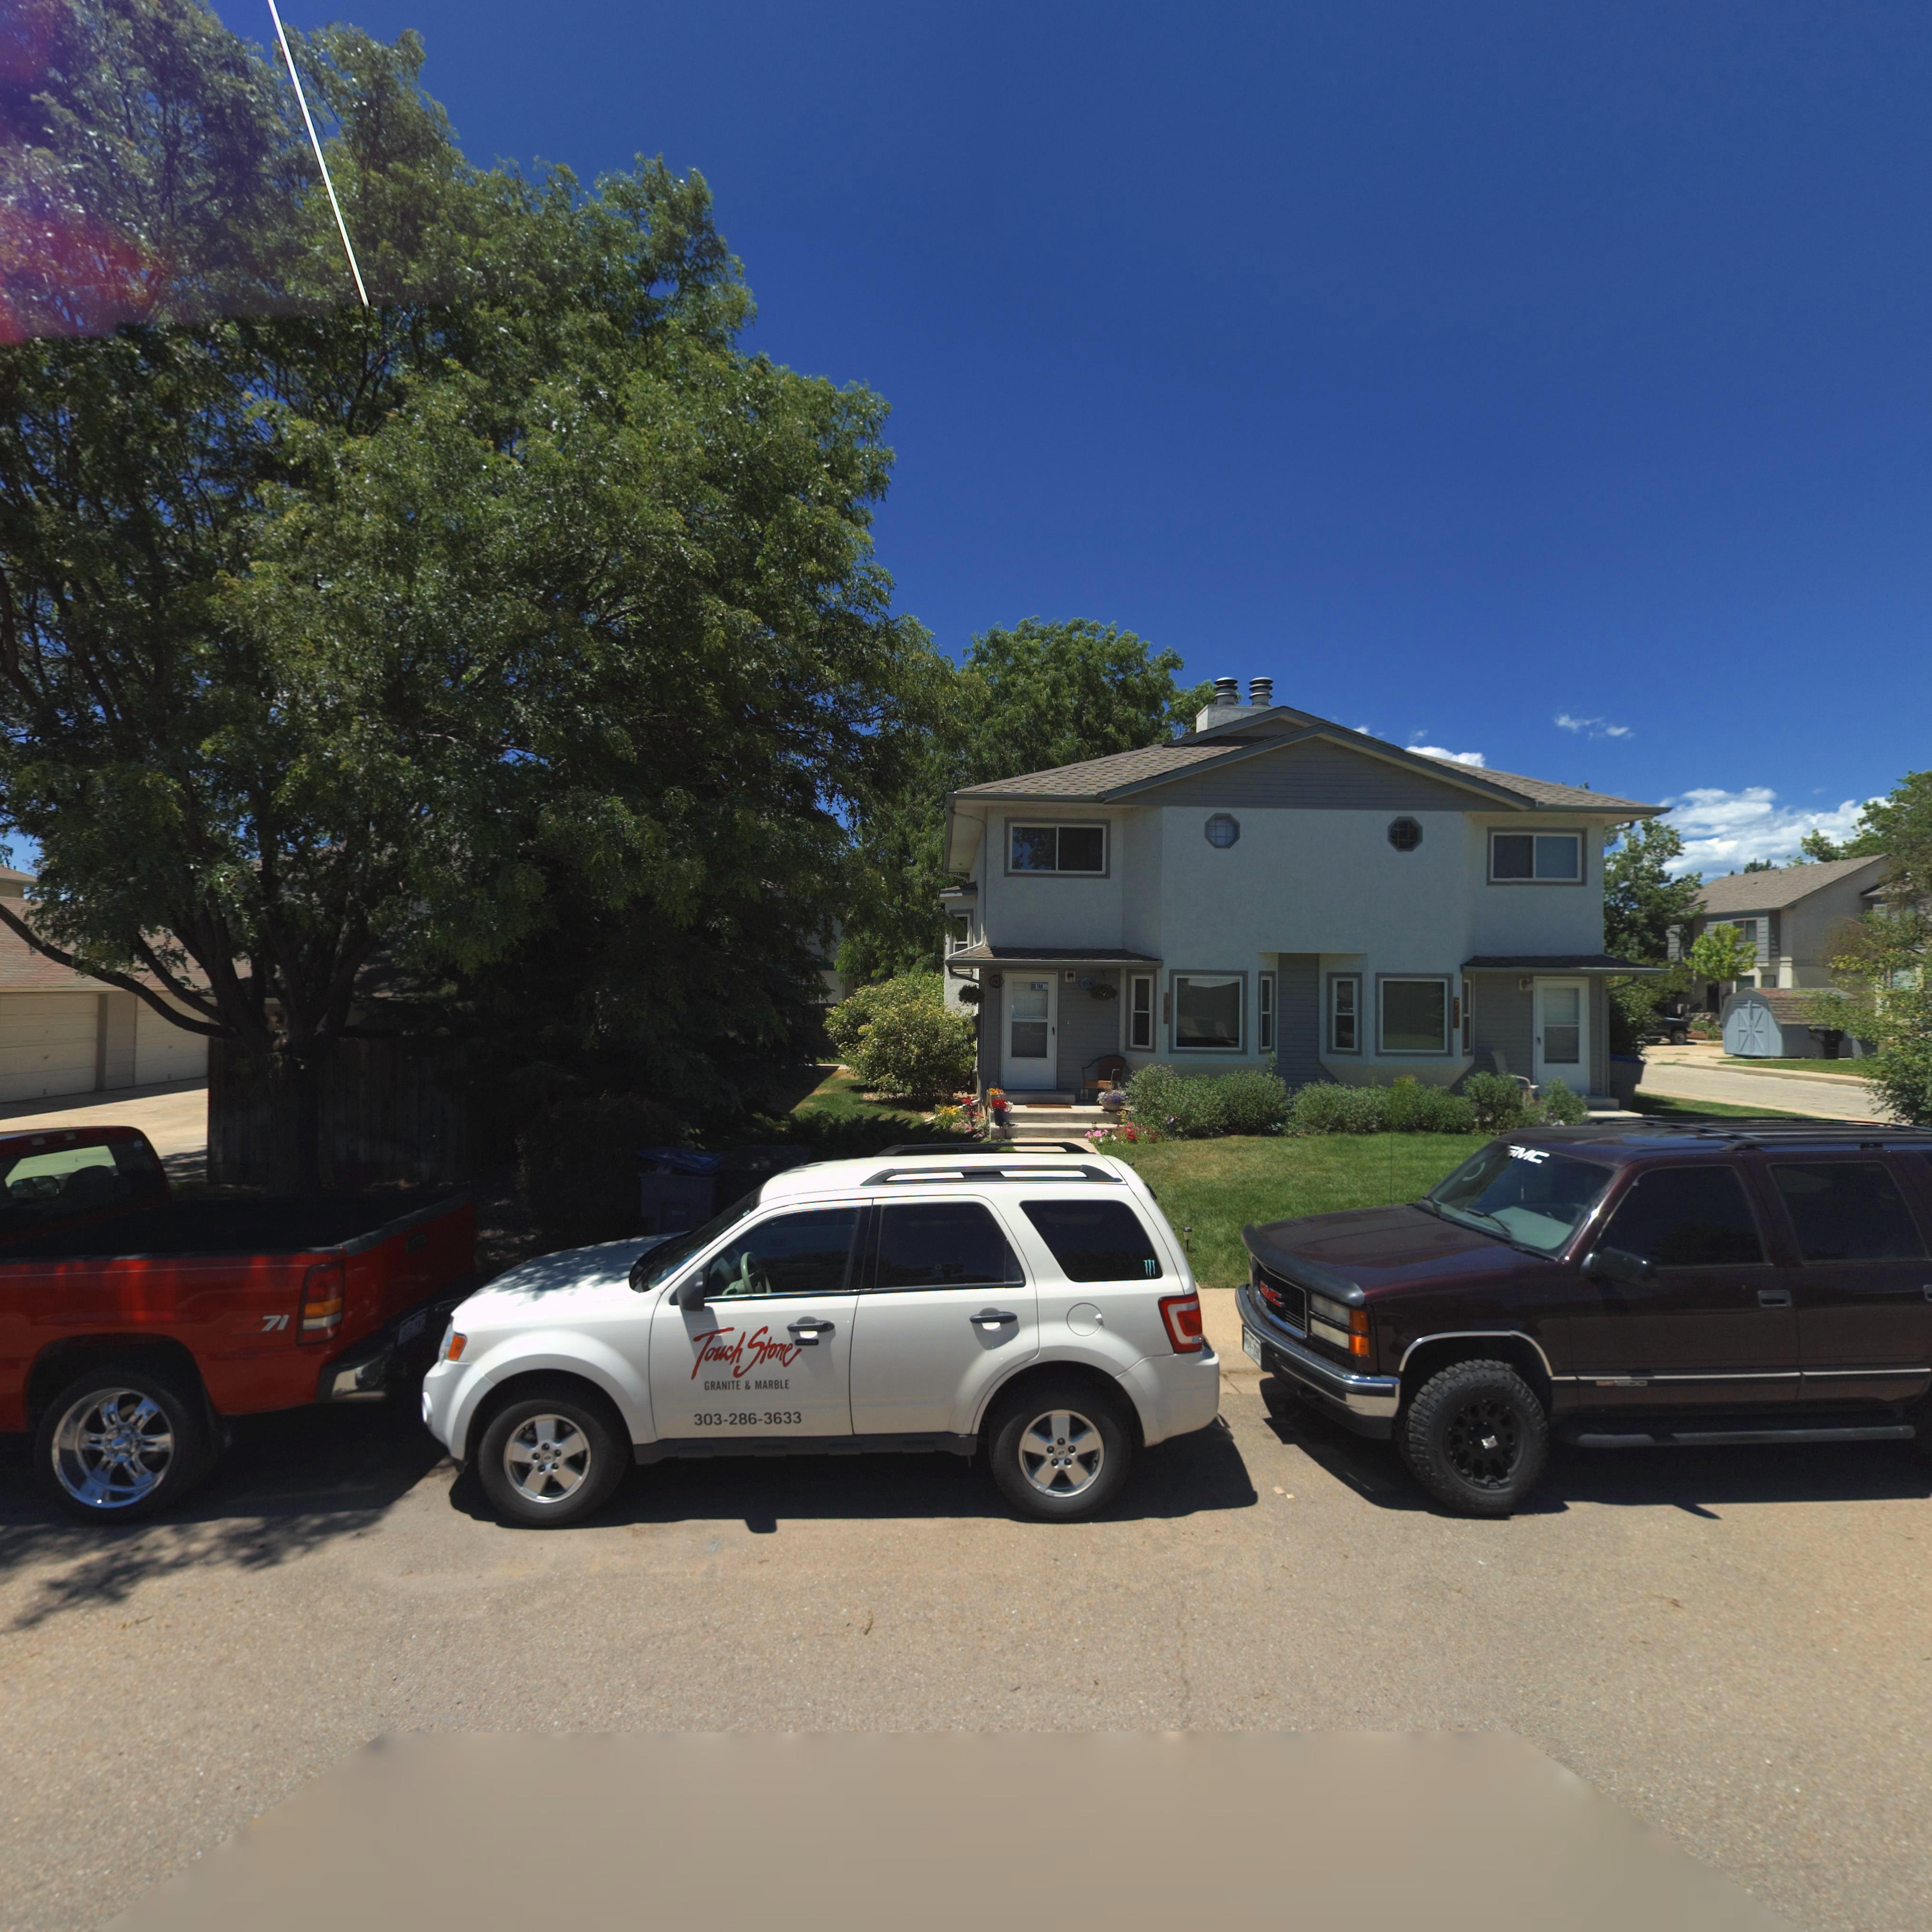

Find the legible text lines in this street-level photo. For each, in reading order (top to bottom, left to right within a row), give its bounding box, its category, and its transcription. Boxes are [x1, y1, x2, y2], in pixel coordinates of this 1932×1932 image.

[1164, 993, 1169, 1024] StreetNumber: 2***
[1454, 998, 1459, 1027] StreetNumber: 2***